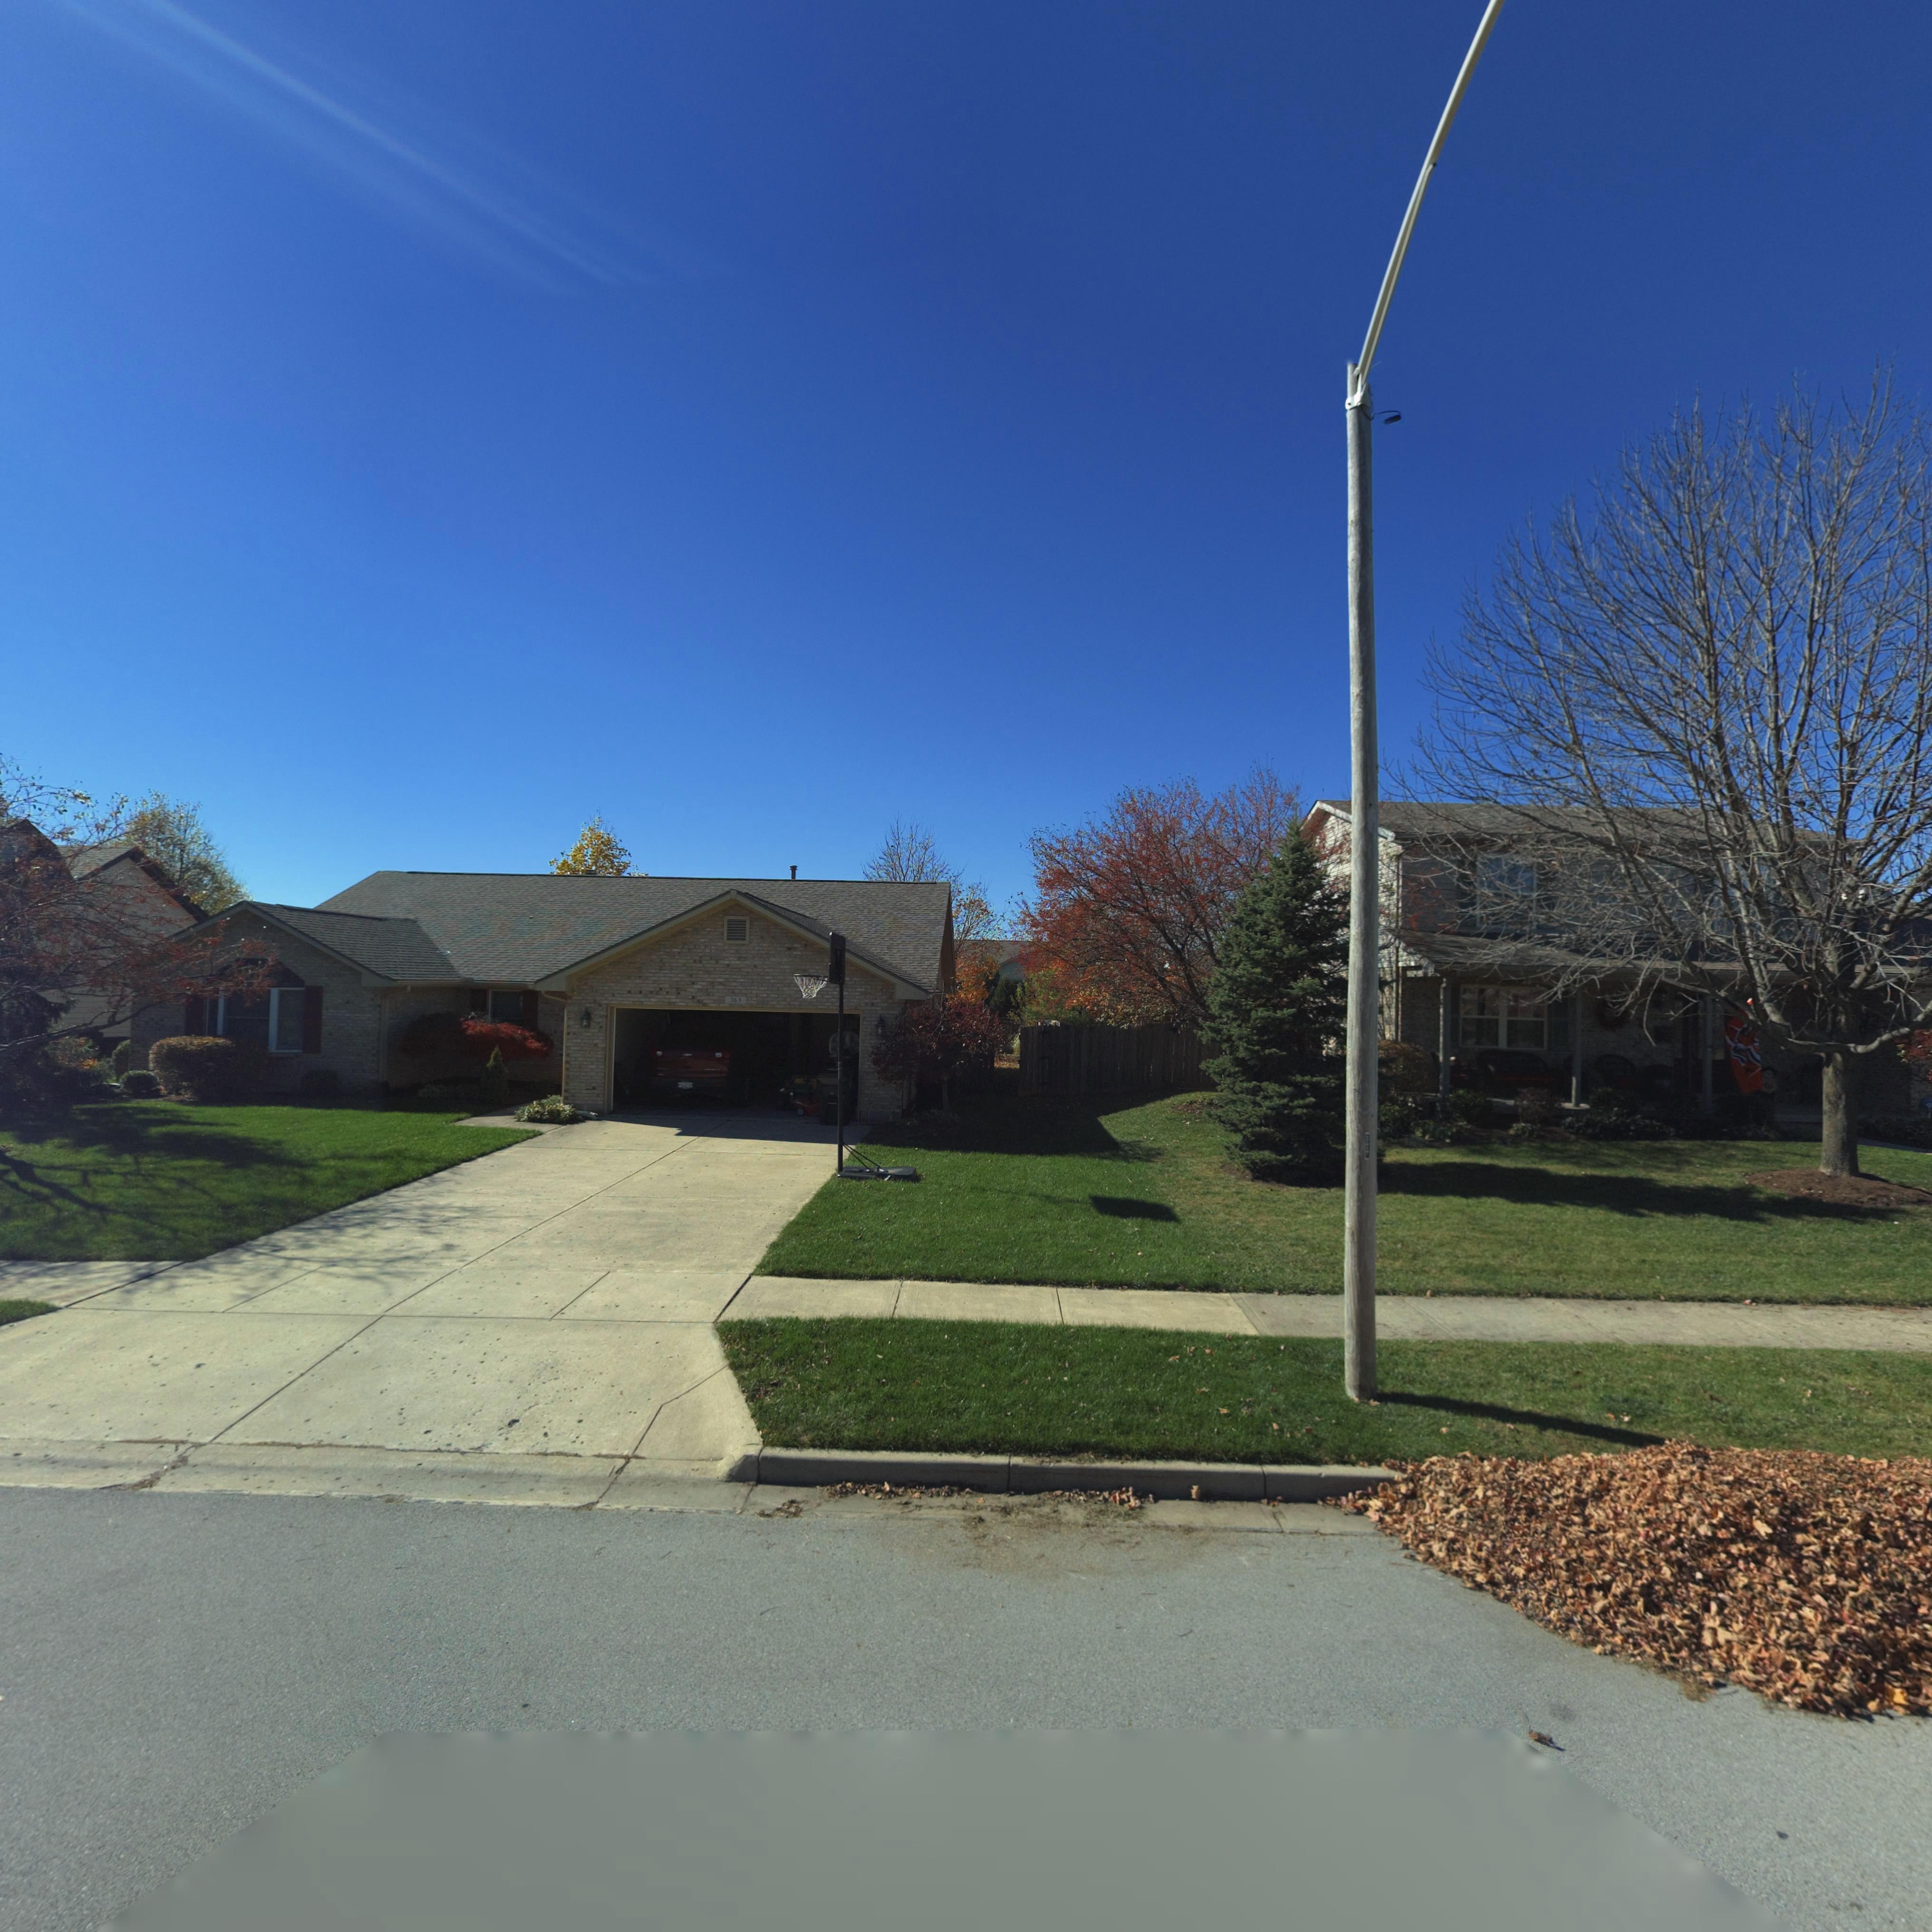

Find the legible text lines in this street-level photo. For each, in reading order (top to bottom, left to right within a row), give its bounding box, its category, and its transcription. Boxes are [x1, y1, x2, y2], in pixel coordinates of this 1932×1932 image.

[729, 996, 742, 1004] StreetNumber: 363